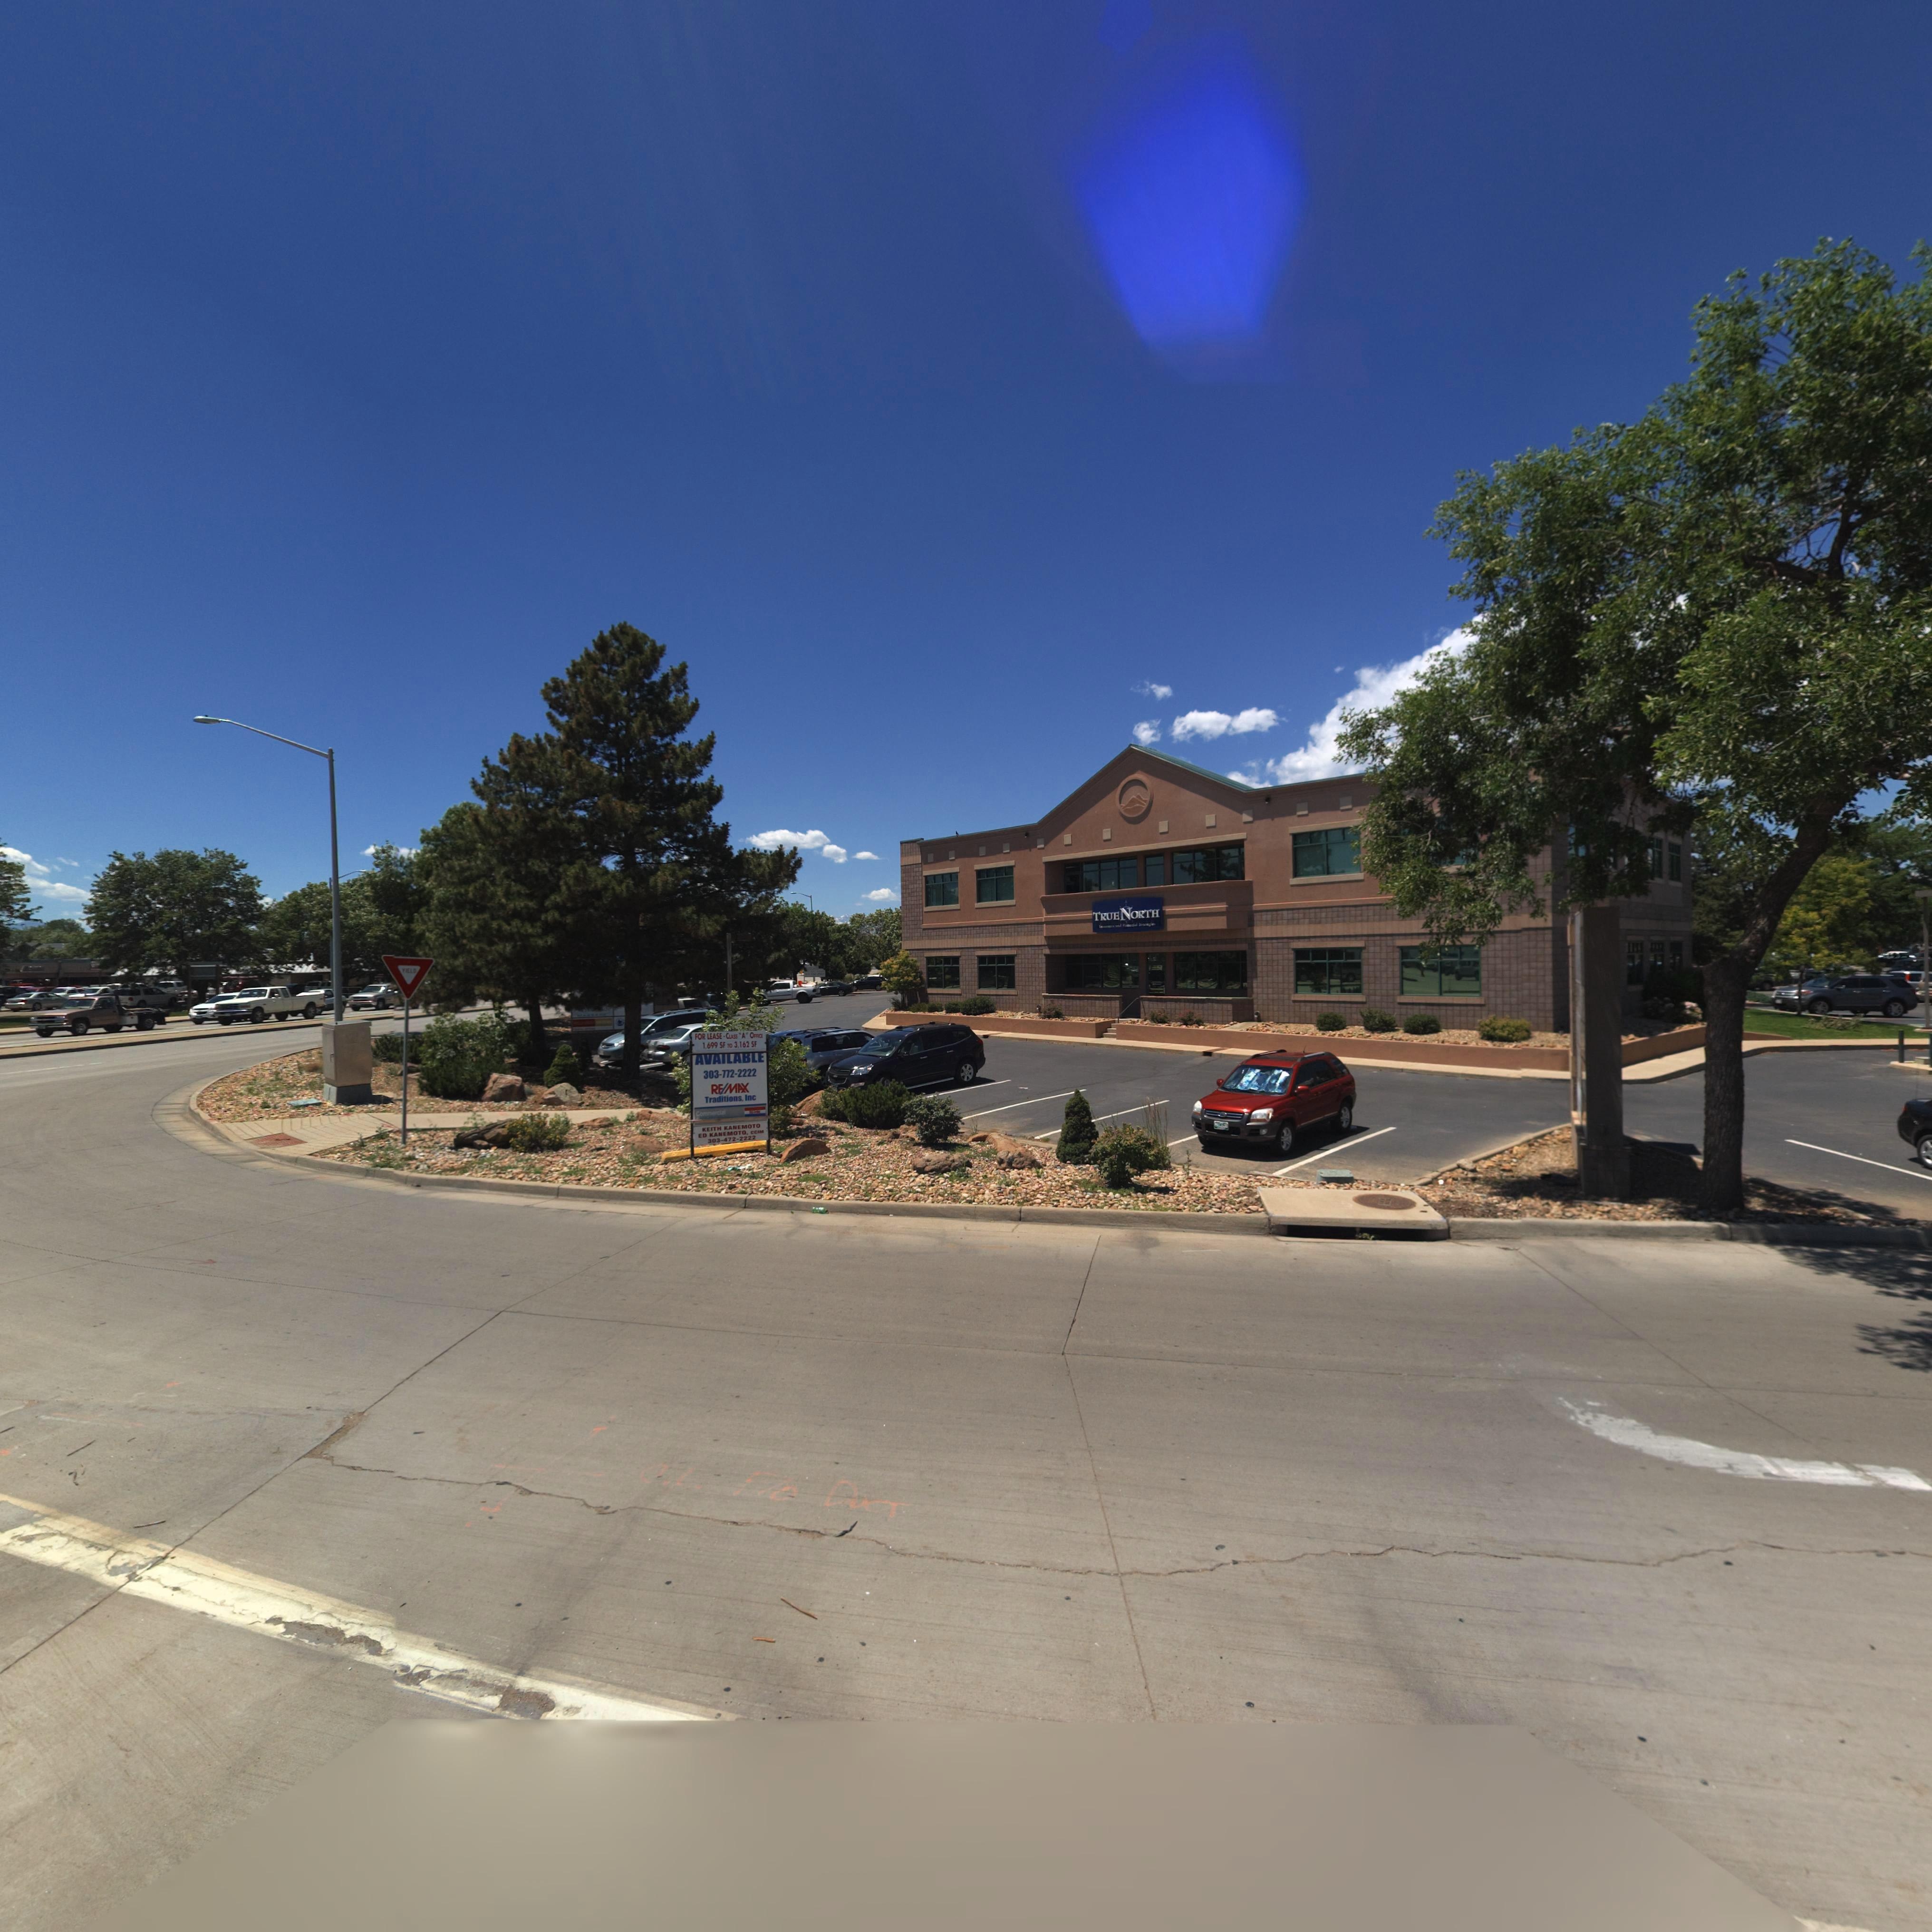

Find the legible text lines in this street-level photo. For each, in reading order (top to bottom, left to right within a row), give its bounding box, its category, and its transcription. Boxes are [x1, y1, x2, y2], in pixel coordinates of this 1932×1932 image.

[1092, 907, 1159, 921] BusinessName: TRUE NORTH
[577, 1013, 607, 1017] BusinessName: *ASSA**